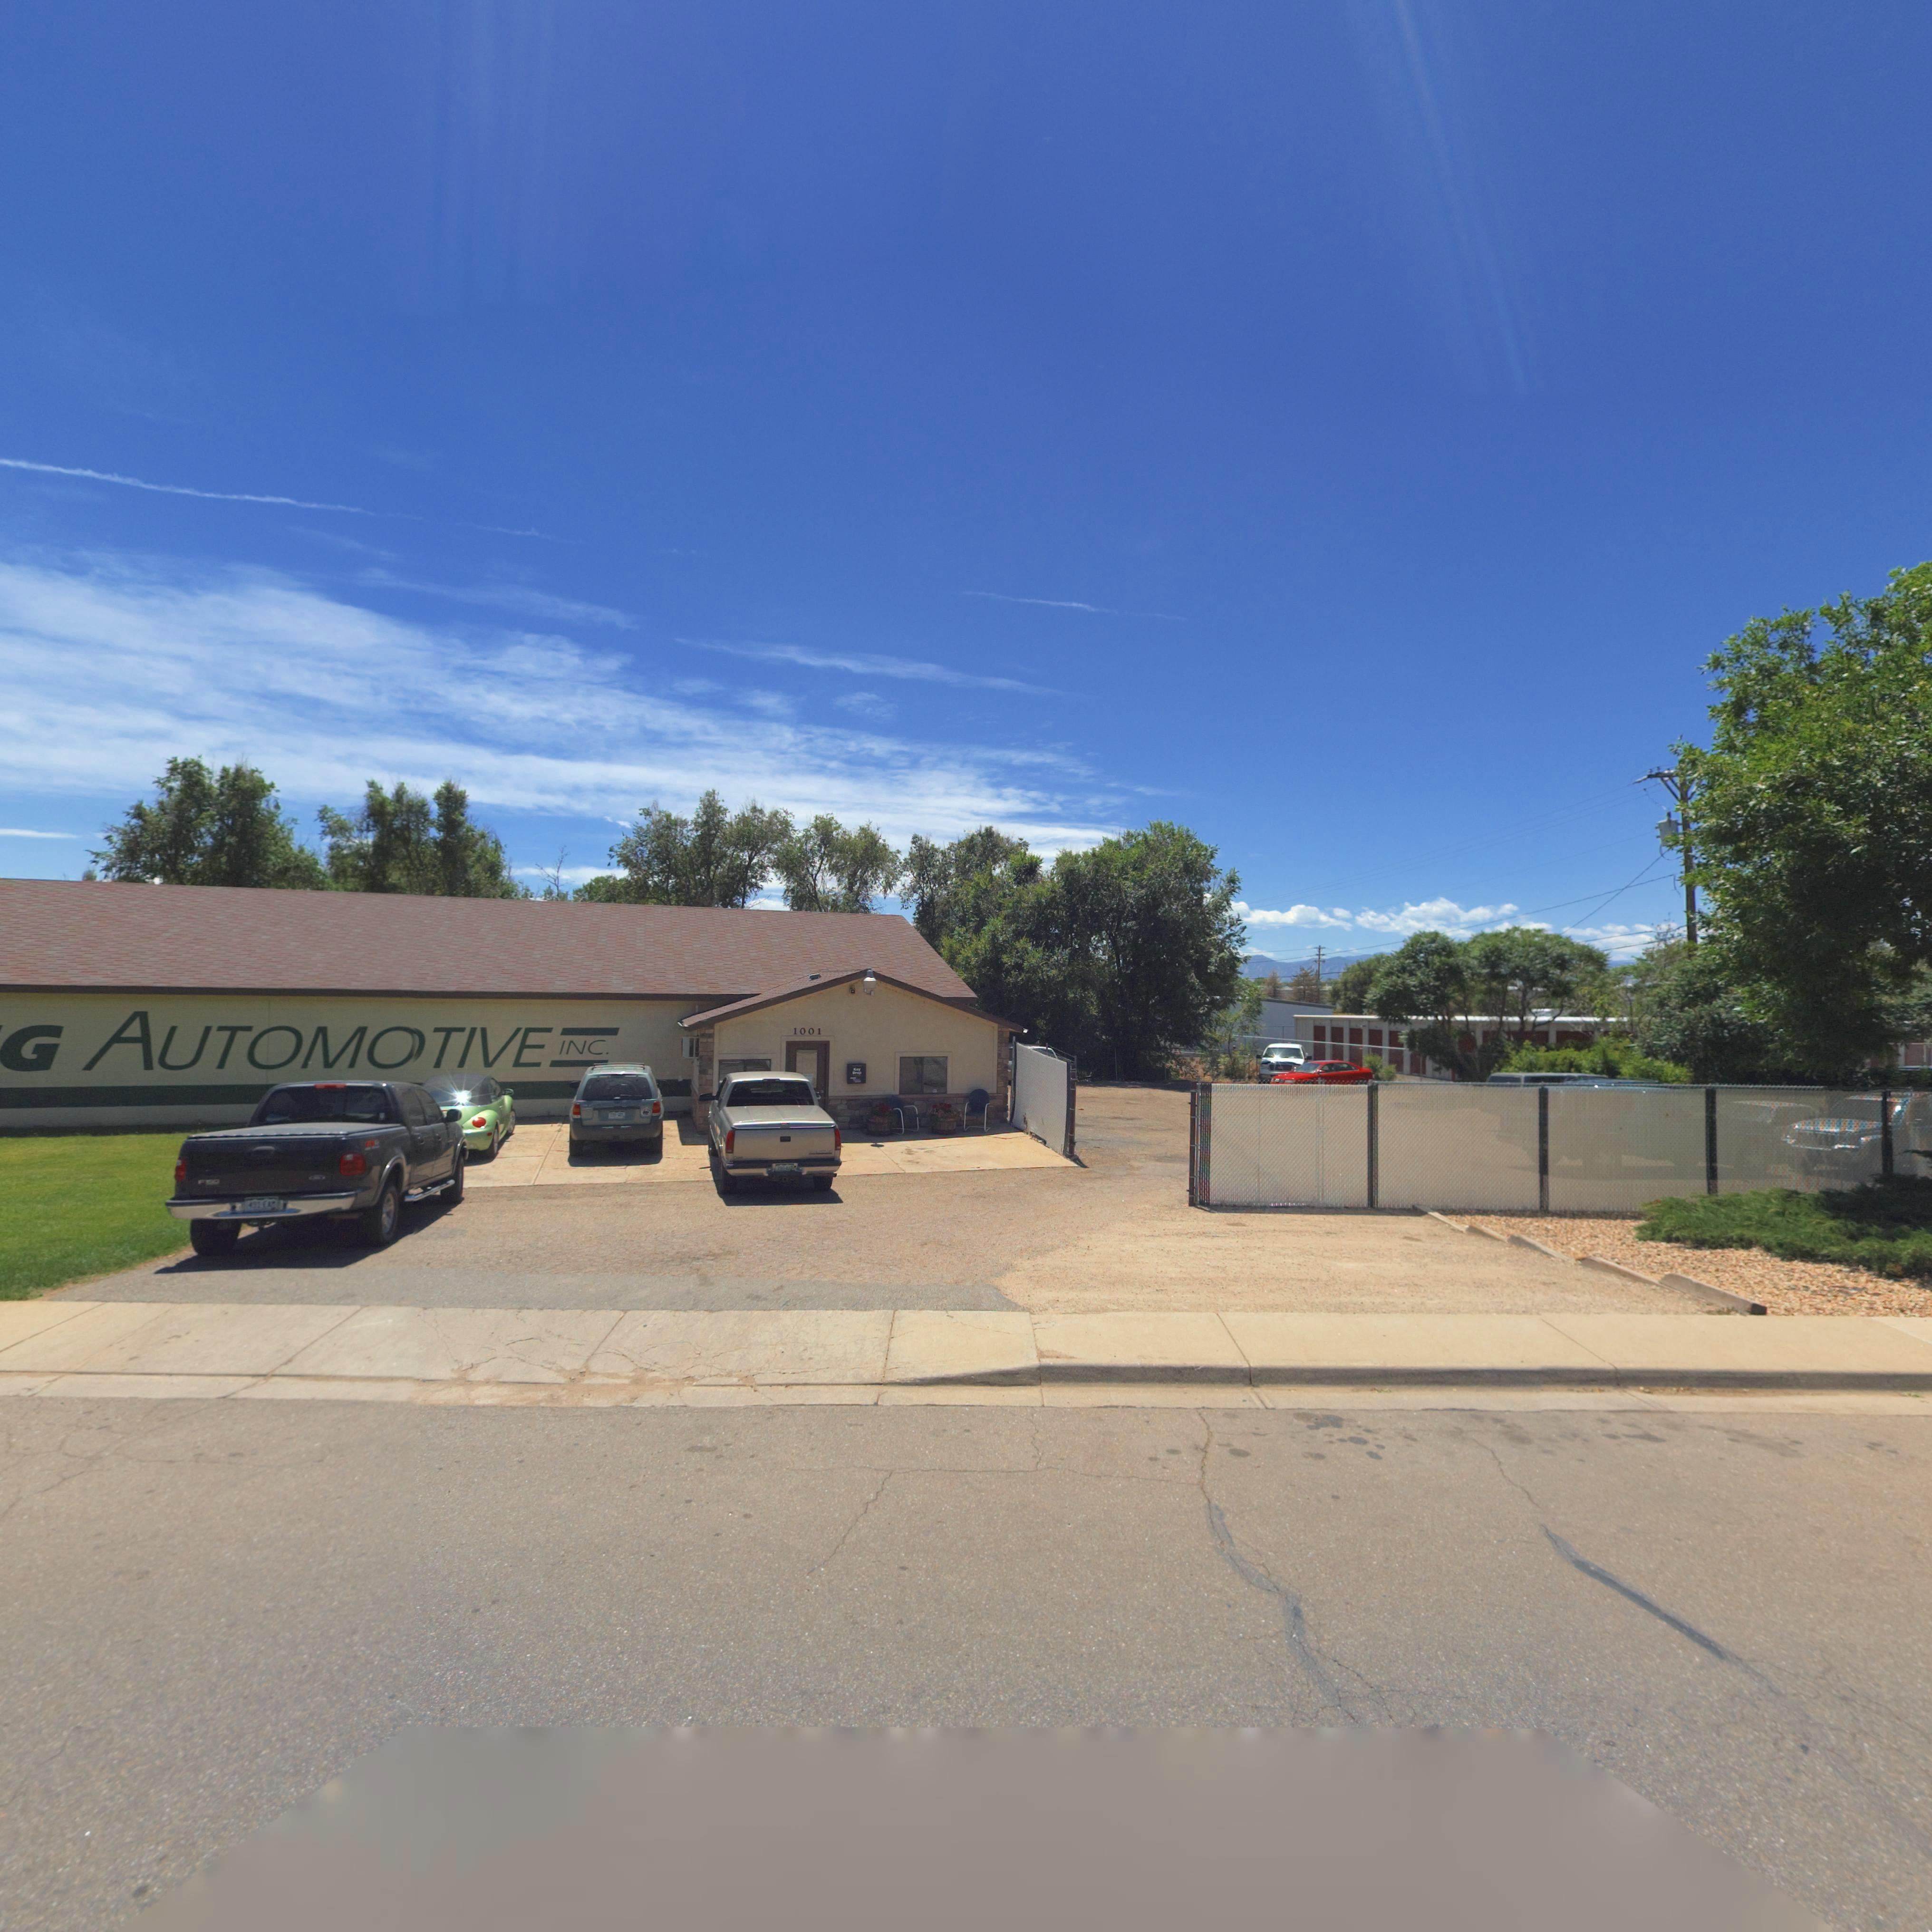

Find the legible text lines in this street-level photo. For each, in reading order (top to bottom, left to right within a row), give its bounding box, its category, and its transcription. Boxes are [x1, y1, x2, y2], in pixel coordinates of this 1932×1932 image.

[0, 1023, 66, 1072] BusinessName: G
[78, 1010, 554, 1072] BusinessName: AUTOMOTIVE
[558, 1039, 609, 1055] BusinessName: INC.
[793, 1027, 821, 1035] StreetNumber: 1001